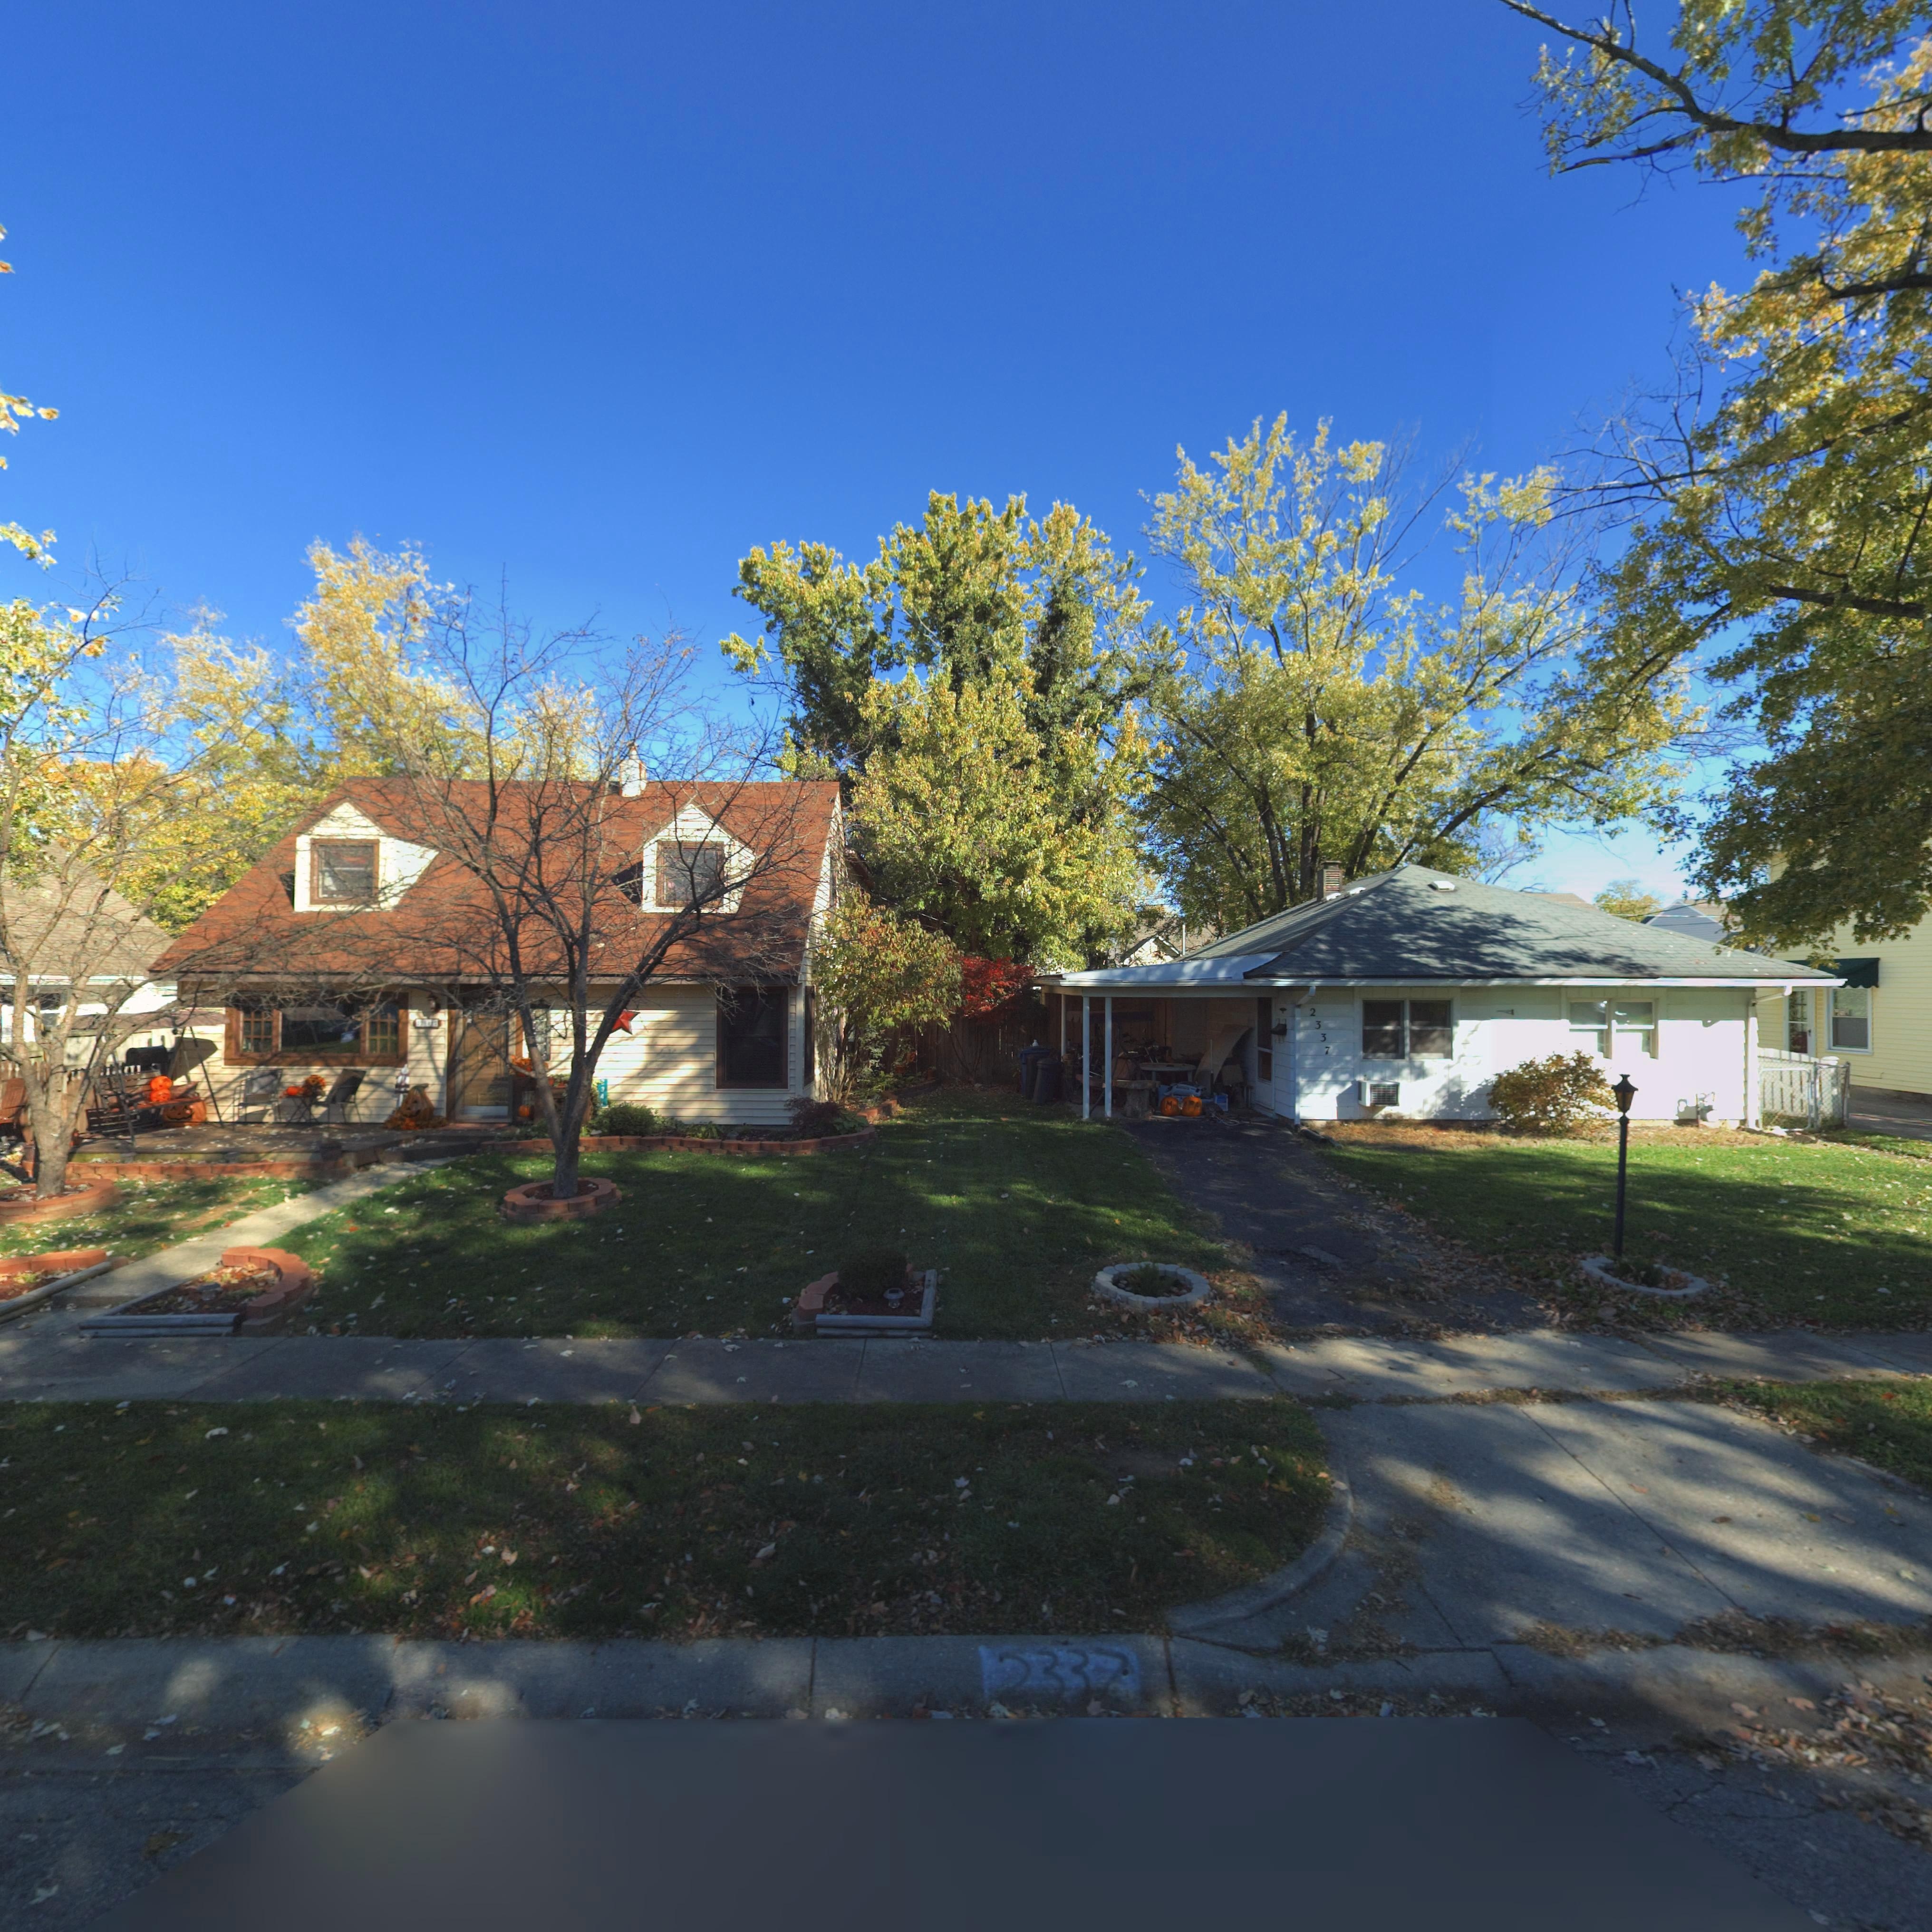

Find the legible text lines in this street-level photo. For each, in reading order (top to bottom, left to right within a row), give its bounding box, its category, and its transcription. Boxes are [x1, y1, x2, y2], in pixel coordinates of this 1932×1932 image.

[1309, 1007, 1332, 1056] StreetNumber: 2337
[599, 1078, 606, 1100] StreetNumber: *34
[993, 1644, 1133, 1702] StreetNumber: *337